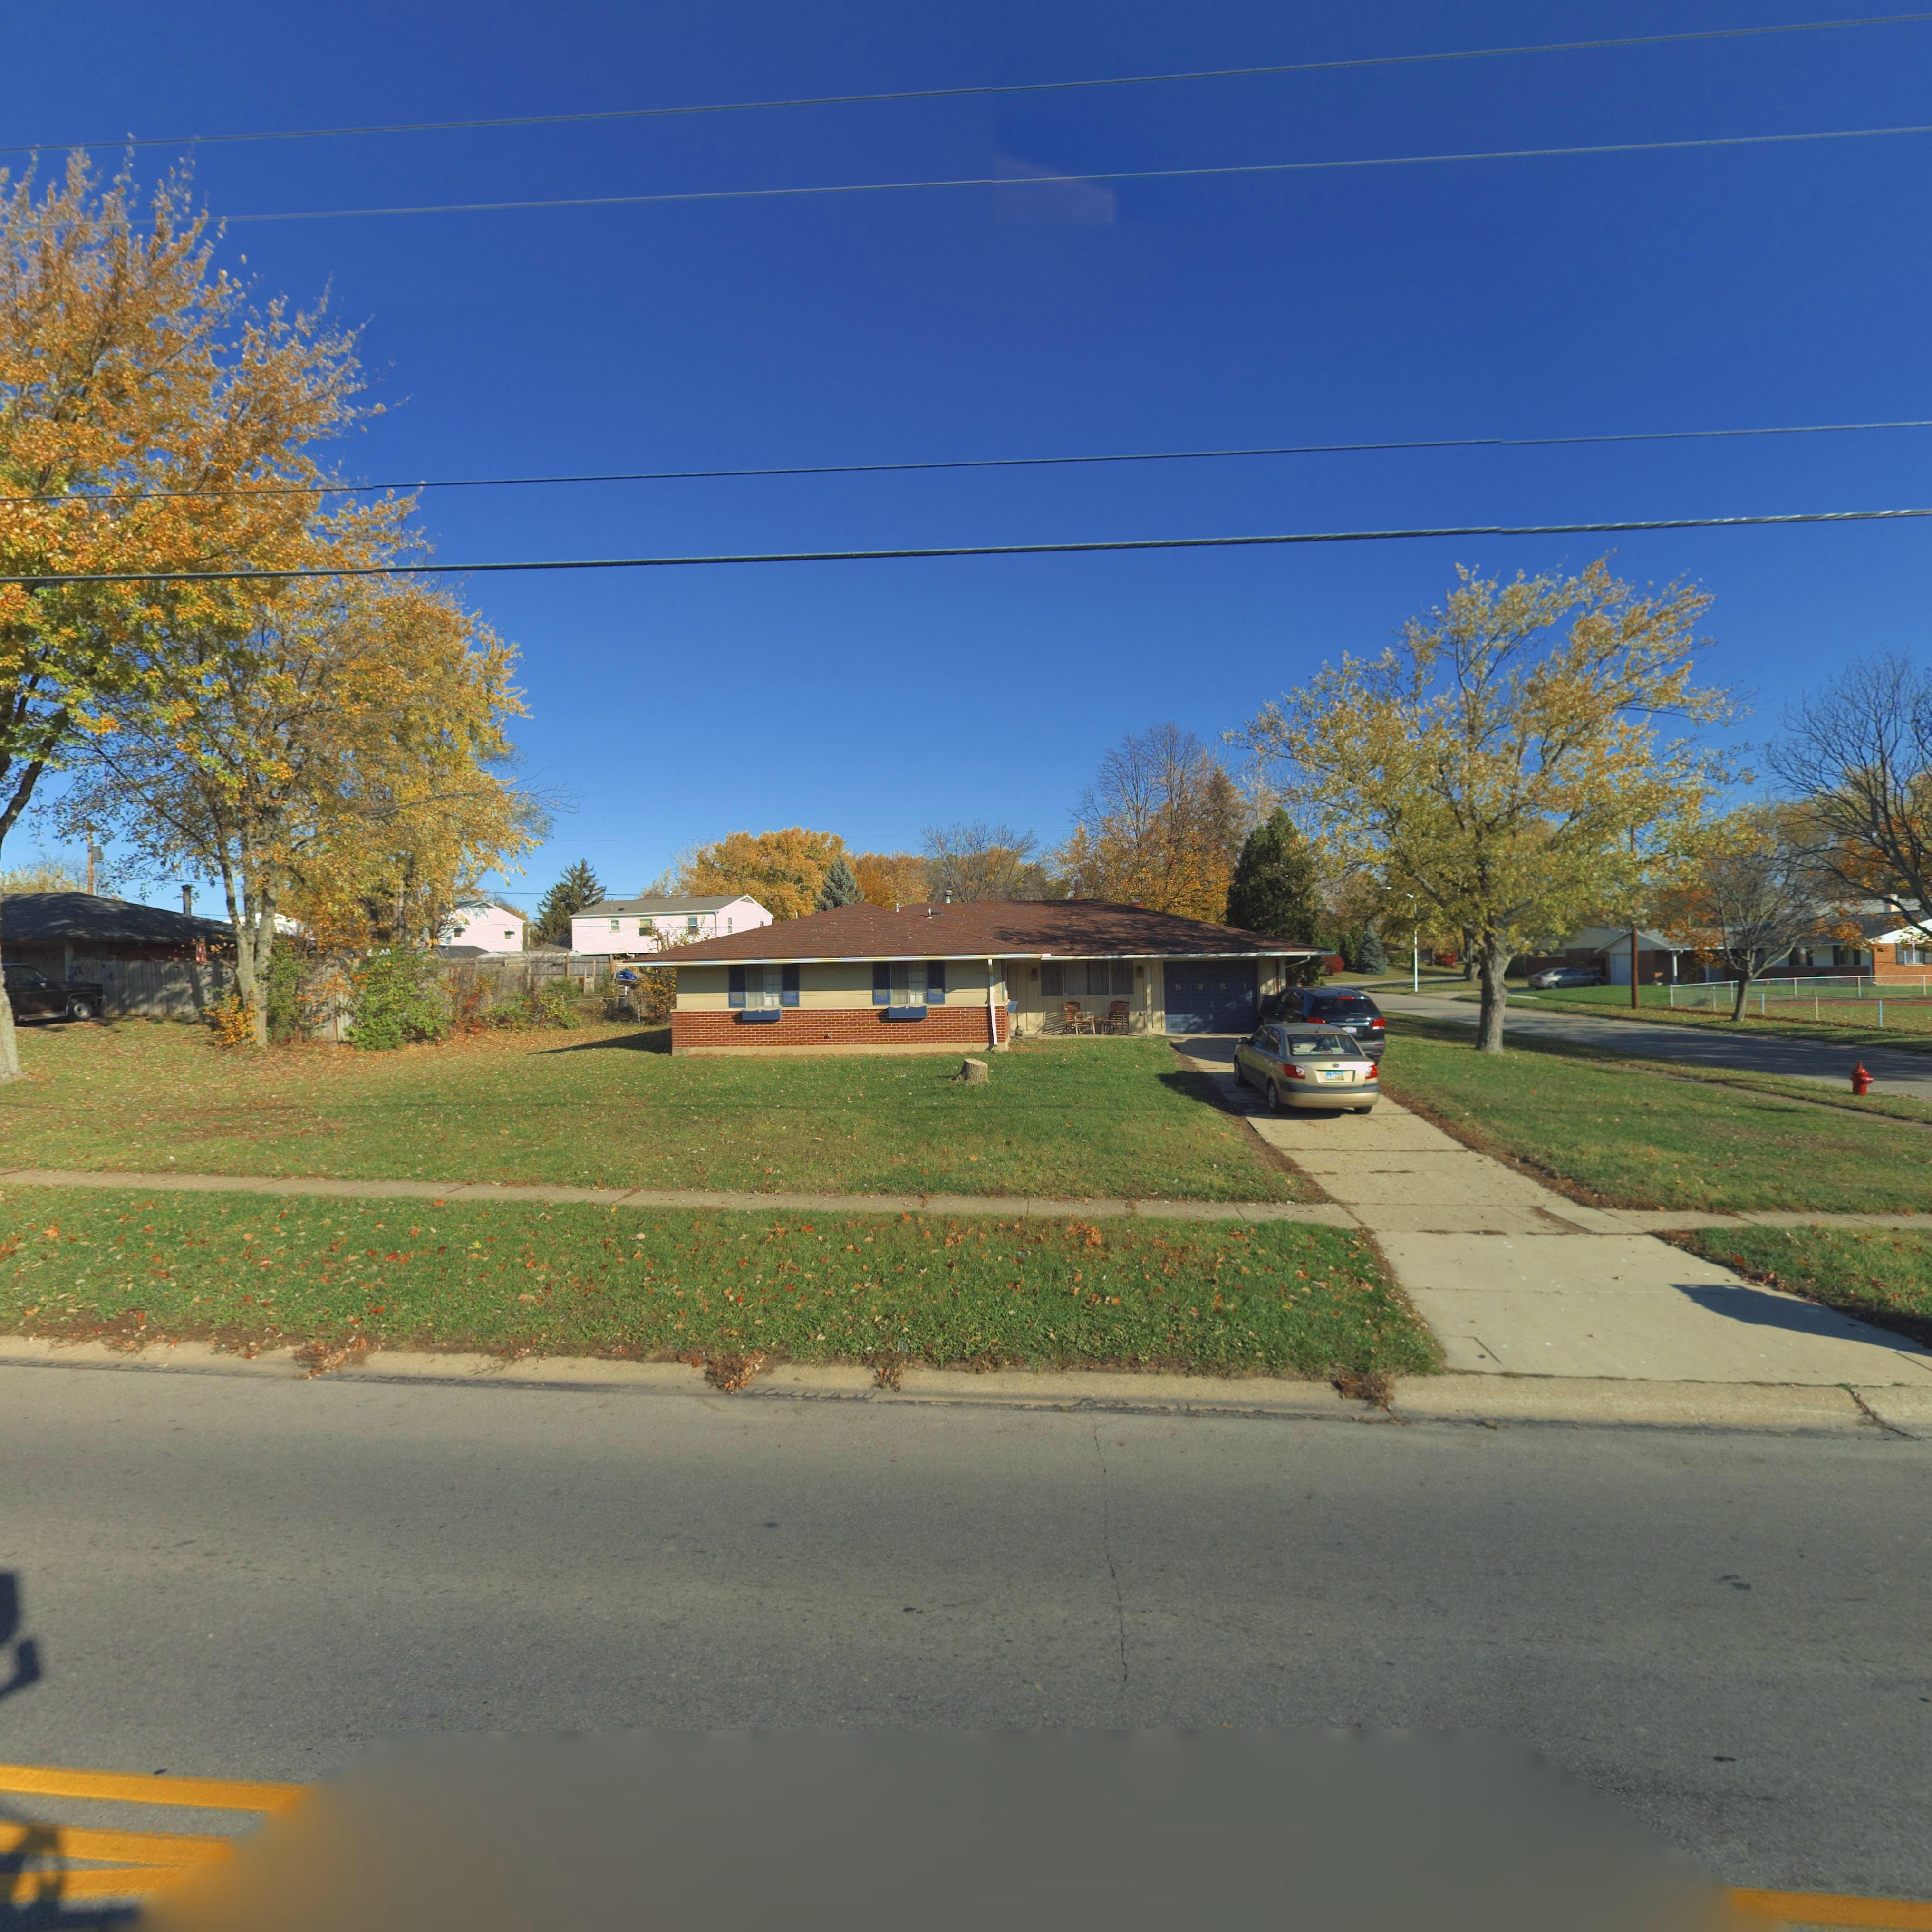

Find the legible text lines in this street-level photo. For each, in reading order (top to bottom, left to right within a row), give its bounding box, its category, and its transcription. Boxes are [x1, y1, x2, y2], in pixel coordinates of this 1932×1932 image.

[1175, 983, 1247, 991] StreetNumber: 5981